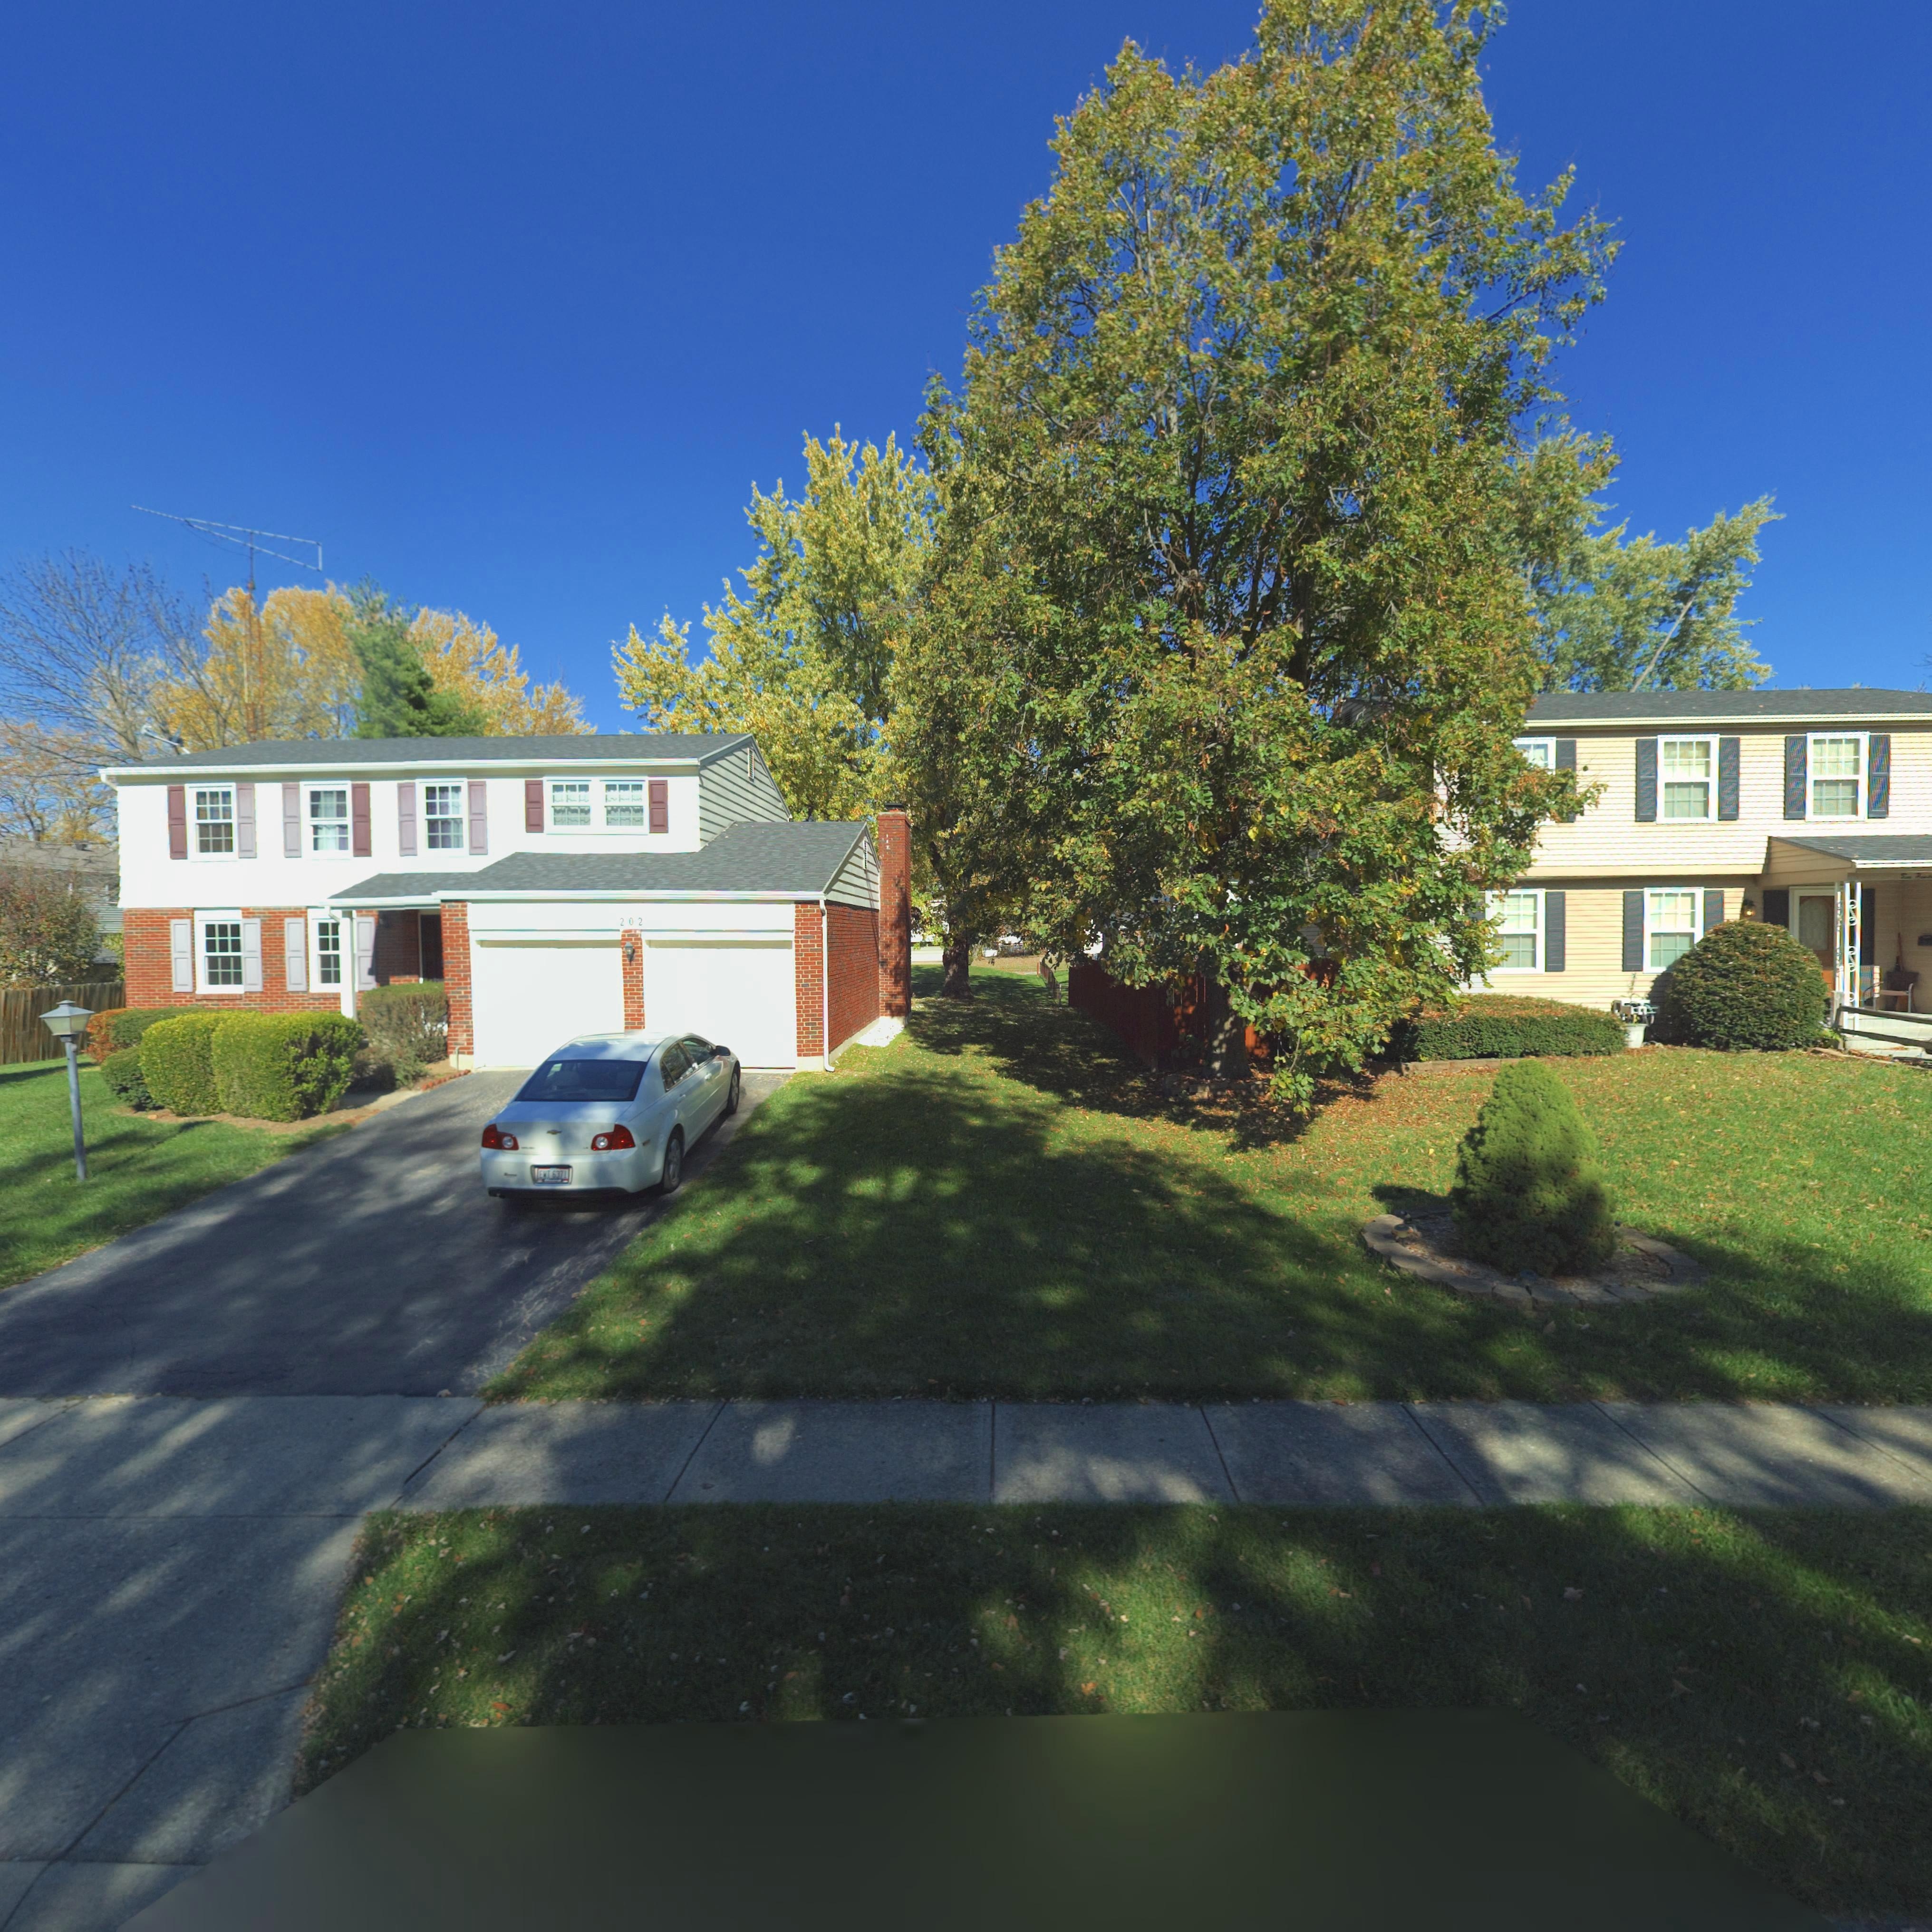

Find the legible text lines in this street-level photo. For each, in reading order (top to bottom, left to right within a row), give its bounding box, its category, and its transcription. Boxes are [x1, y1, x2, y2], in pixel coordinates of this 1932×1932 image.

[619, 917, 643, 927] StreetNumber: 202